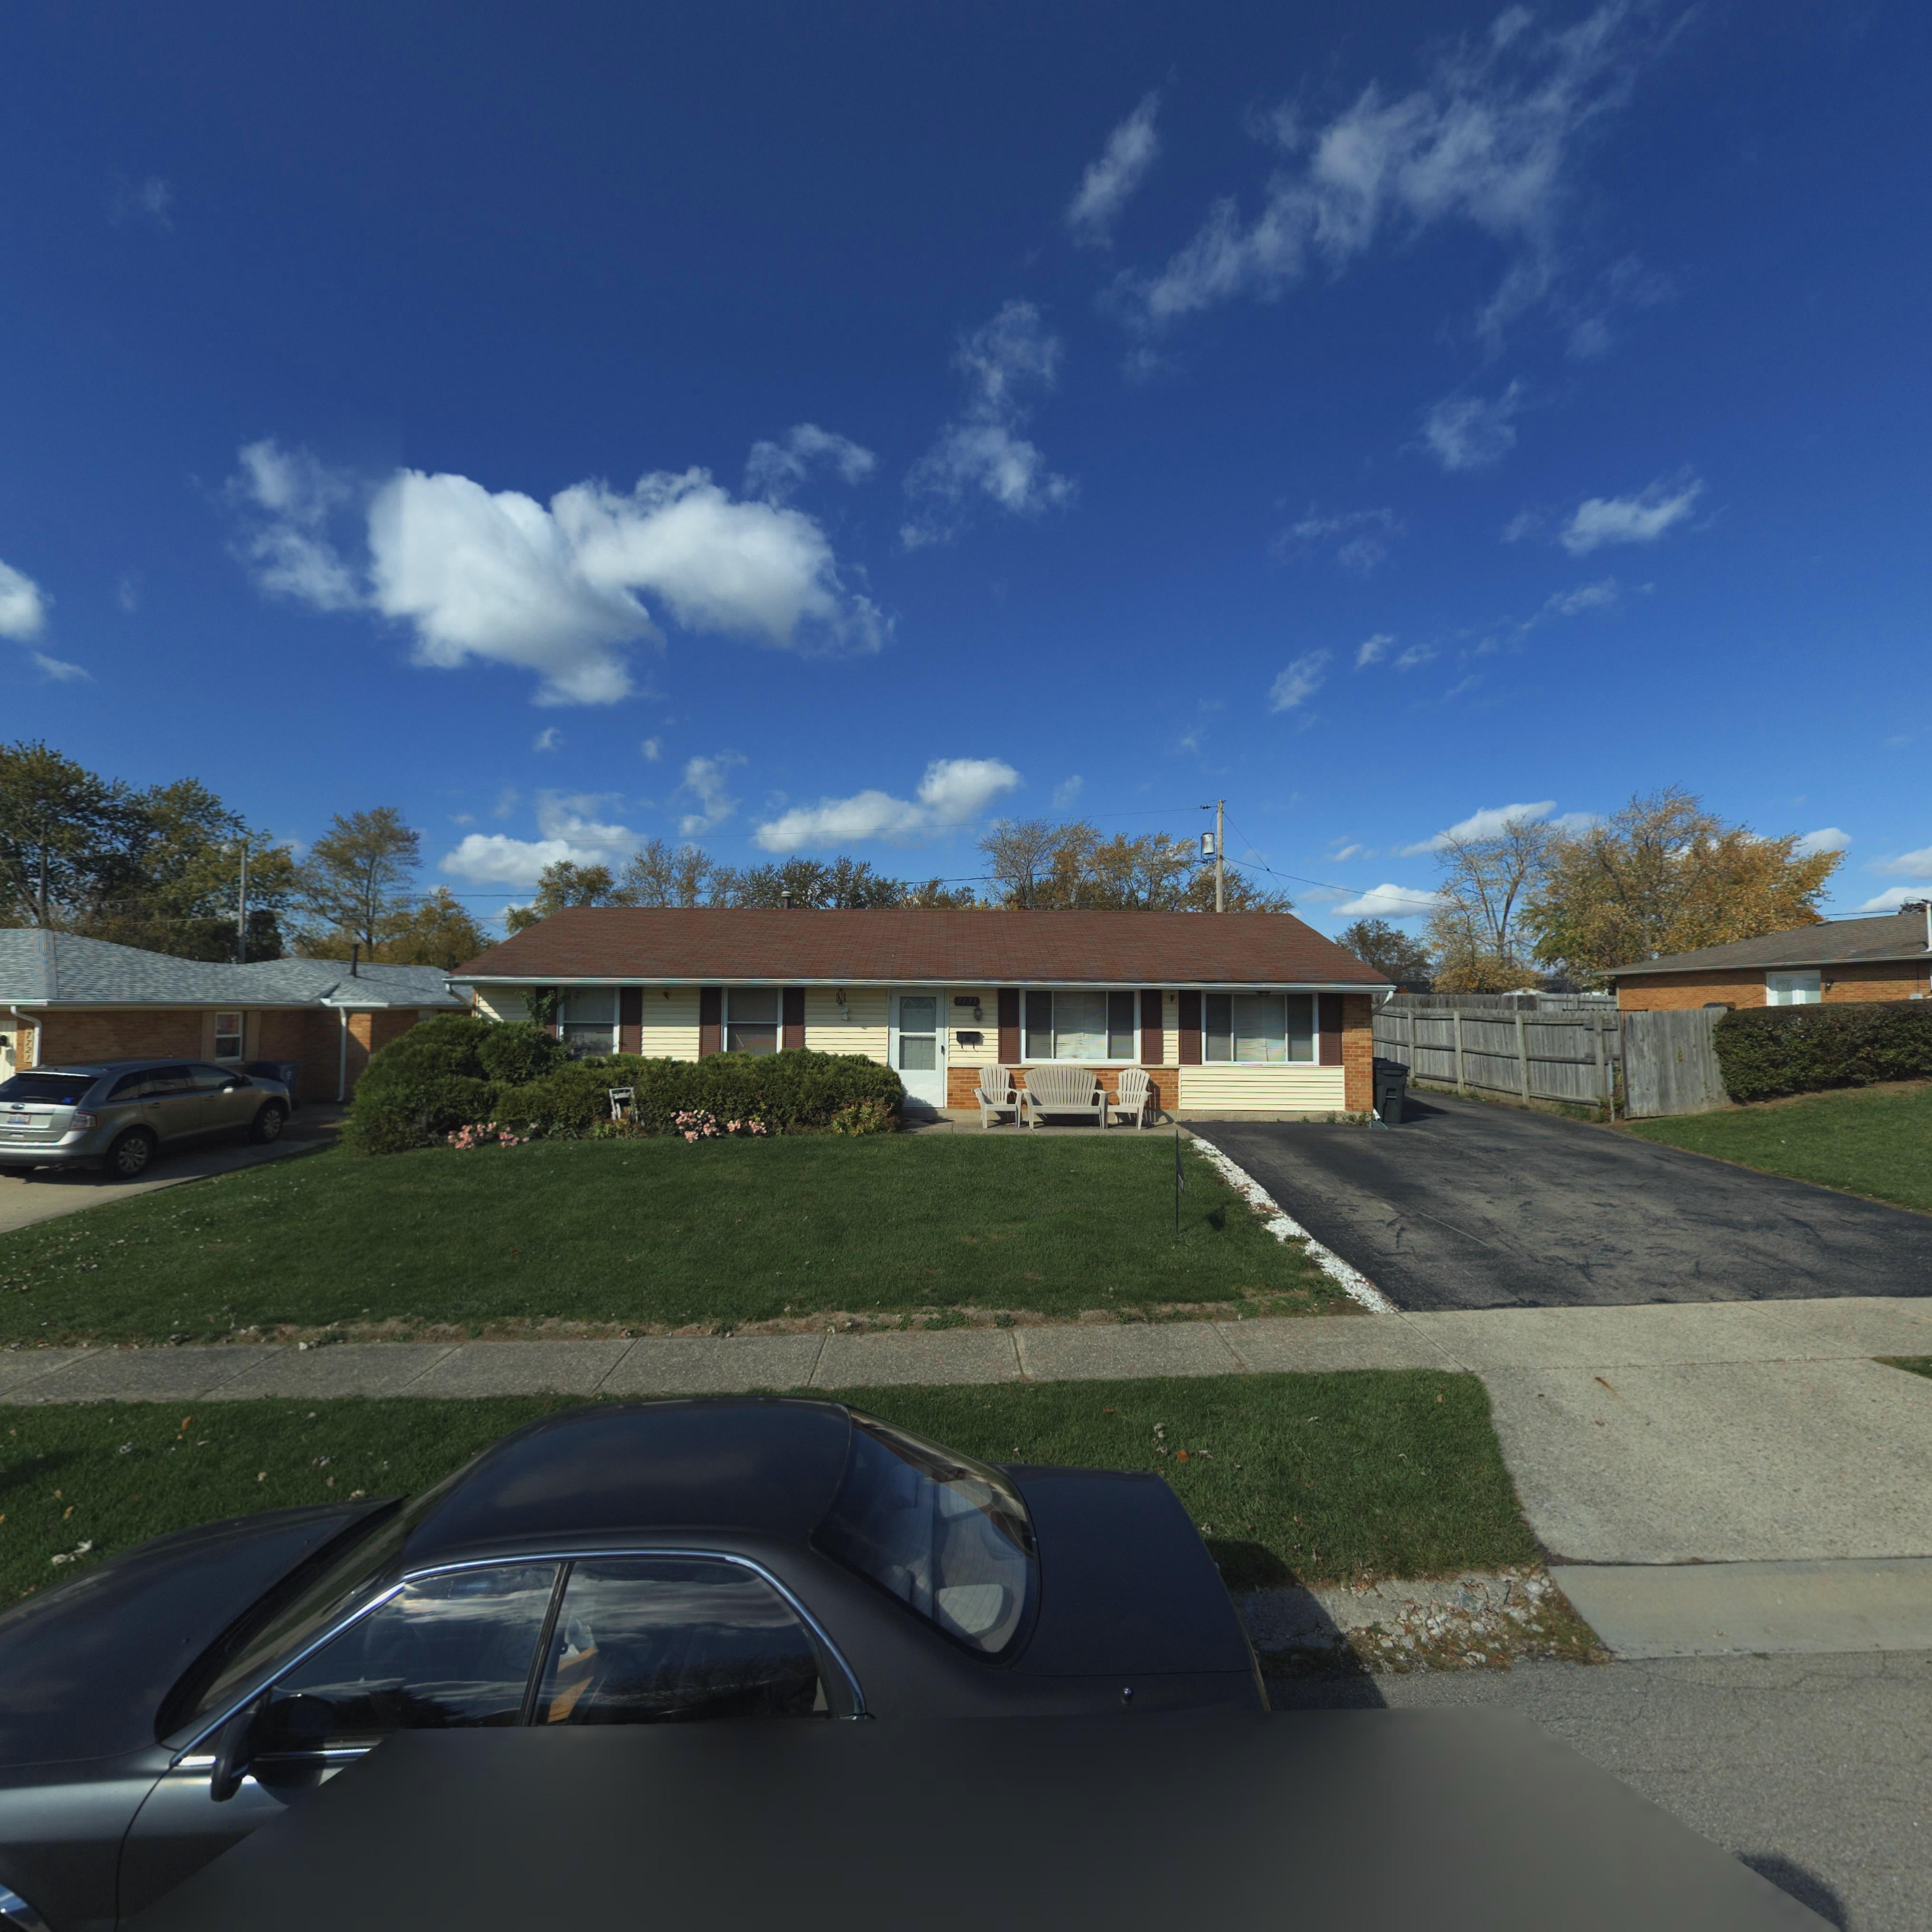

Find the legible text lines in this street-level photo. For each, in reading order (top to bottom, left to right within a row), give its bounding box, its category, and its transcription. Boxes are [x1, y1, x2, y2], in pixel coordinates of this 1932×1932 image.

[956, 997, 977, 1005] StreetNumber: 7731
[24, 1031, 33, 1061] StreetNumber: 7721